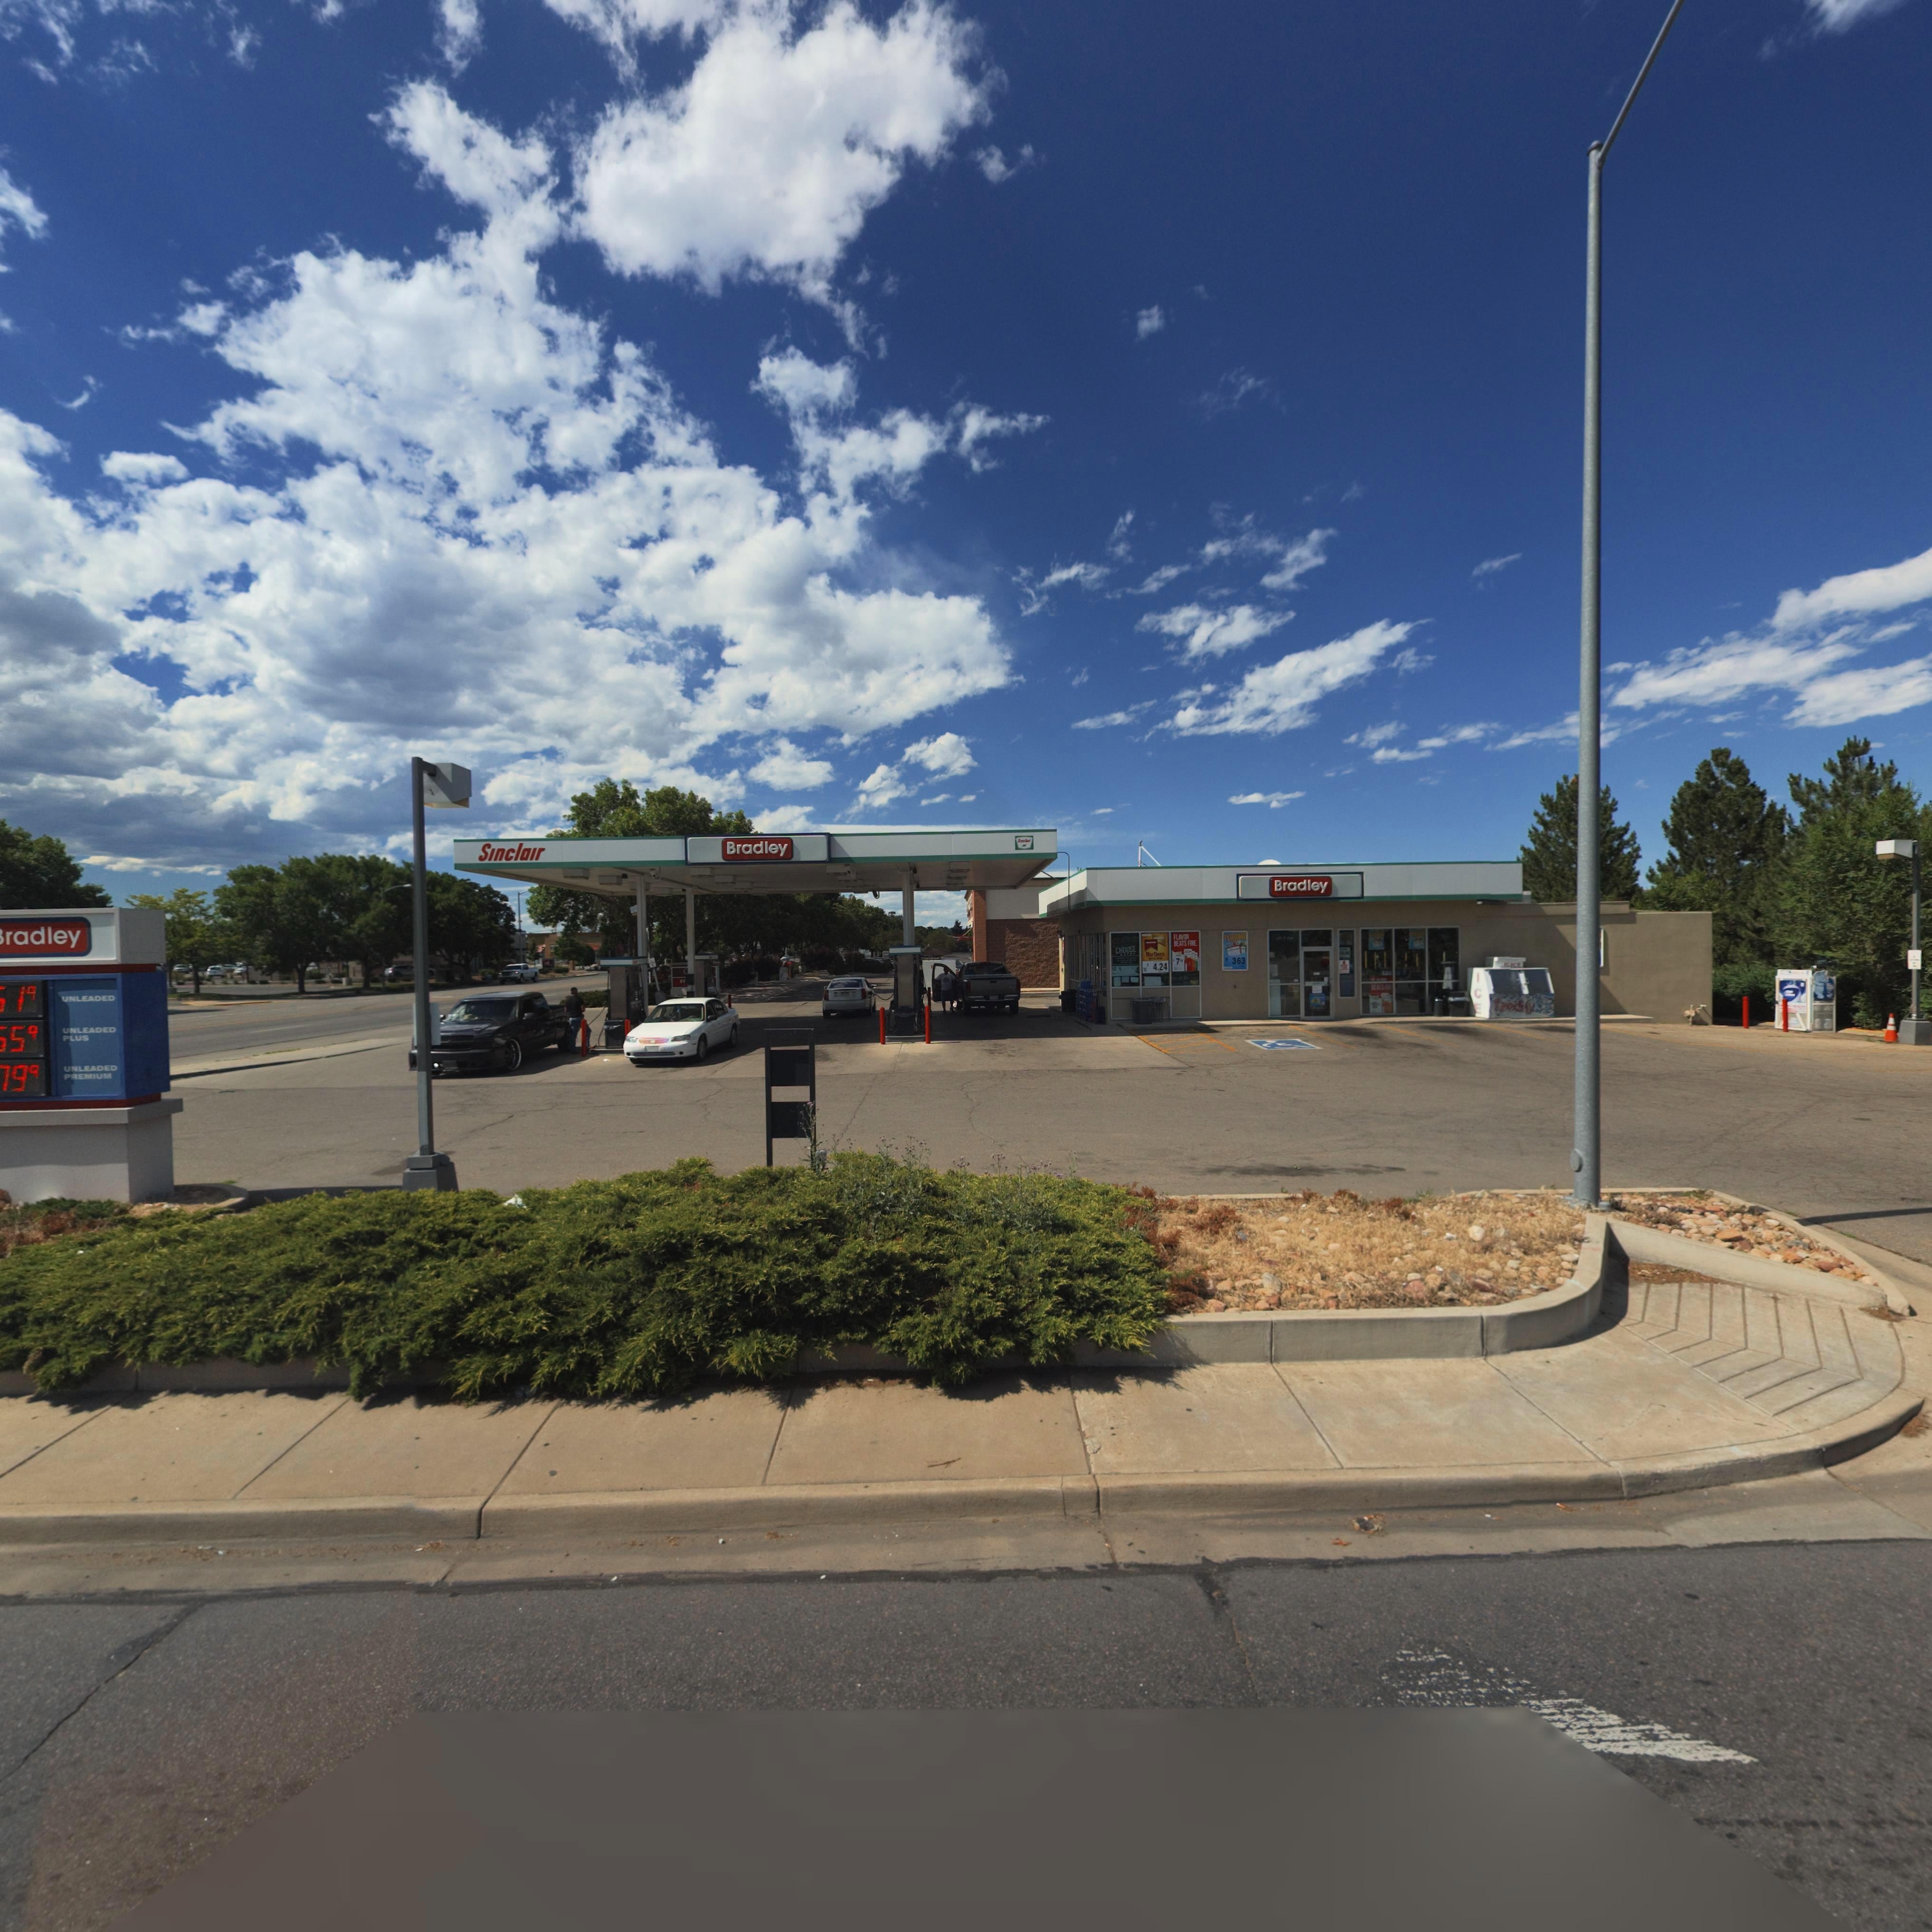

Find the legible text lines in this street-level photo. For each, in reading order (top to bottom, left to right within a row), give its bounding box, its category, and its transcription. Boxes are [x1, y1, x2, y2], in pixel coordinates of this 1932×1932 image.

[1017, 838, 1032, 842] BusinessName: S**cl***
[477, 841, 546, 863] BusinessName: Sinclair
[726, 840, 789, 857] BusinessName: Bradley
[1273, 878, 1329, 894] BusinessName: Bradley
[4, 924, 83, 950] BusinessName: radley
[683, 967, 708, 975] BusinessName: C*******
[679, 979, 710, 985] BusinessName: FI** ****